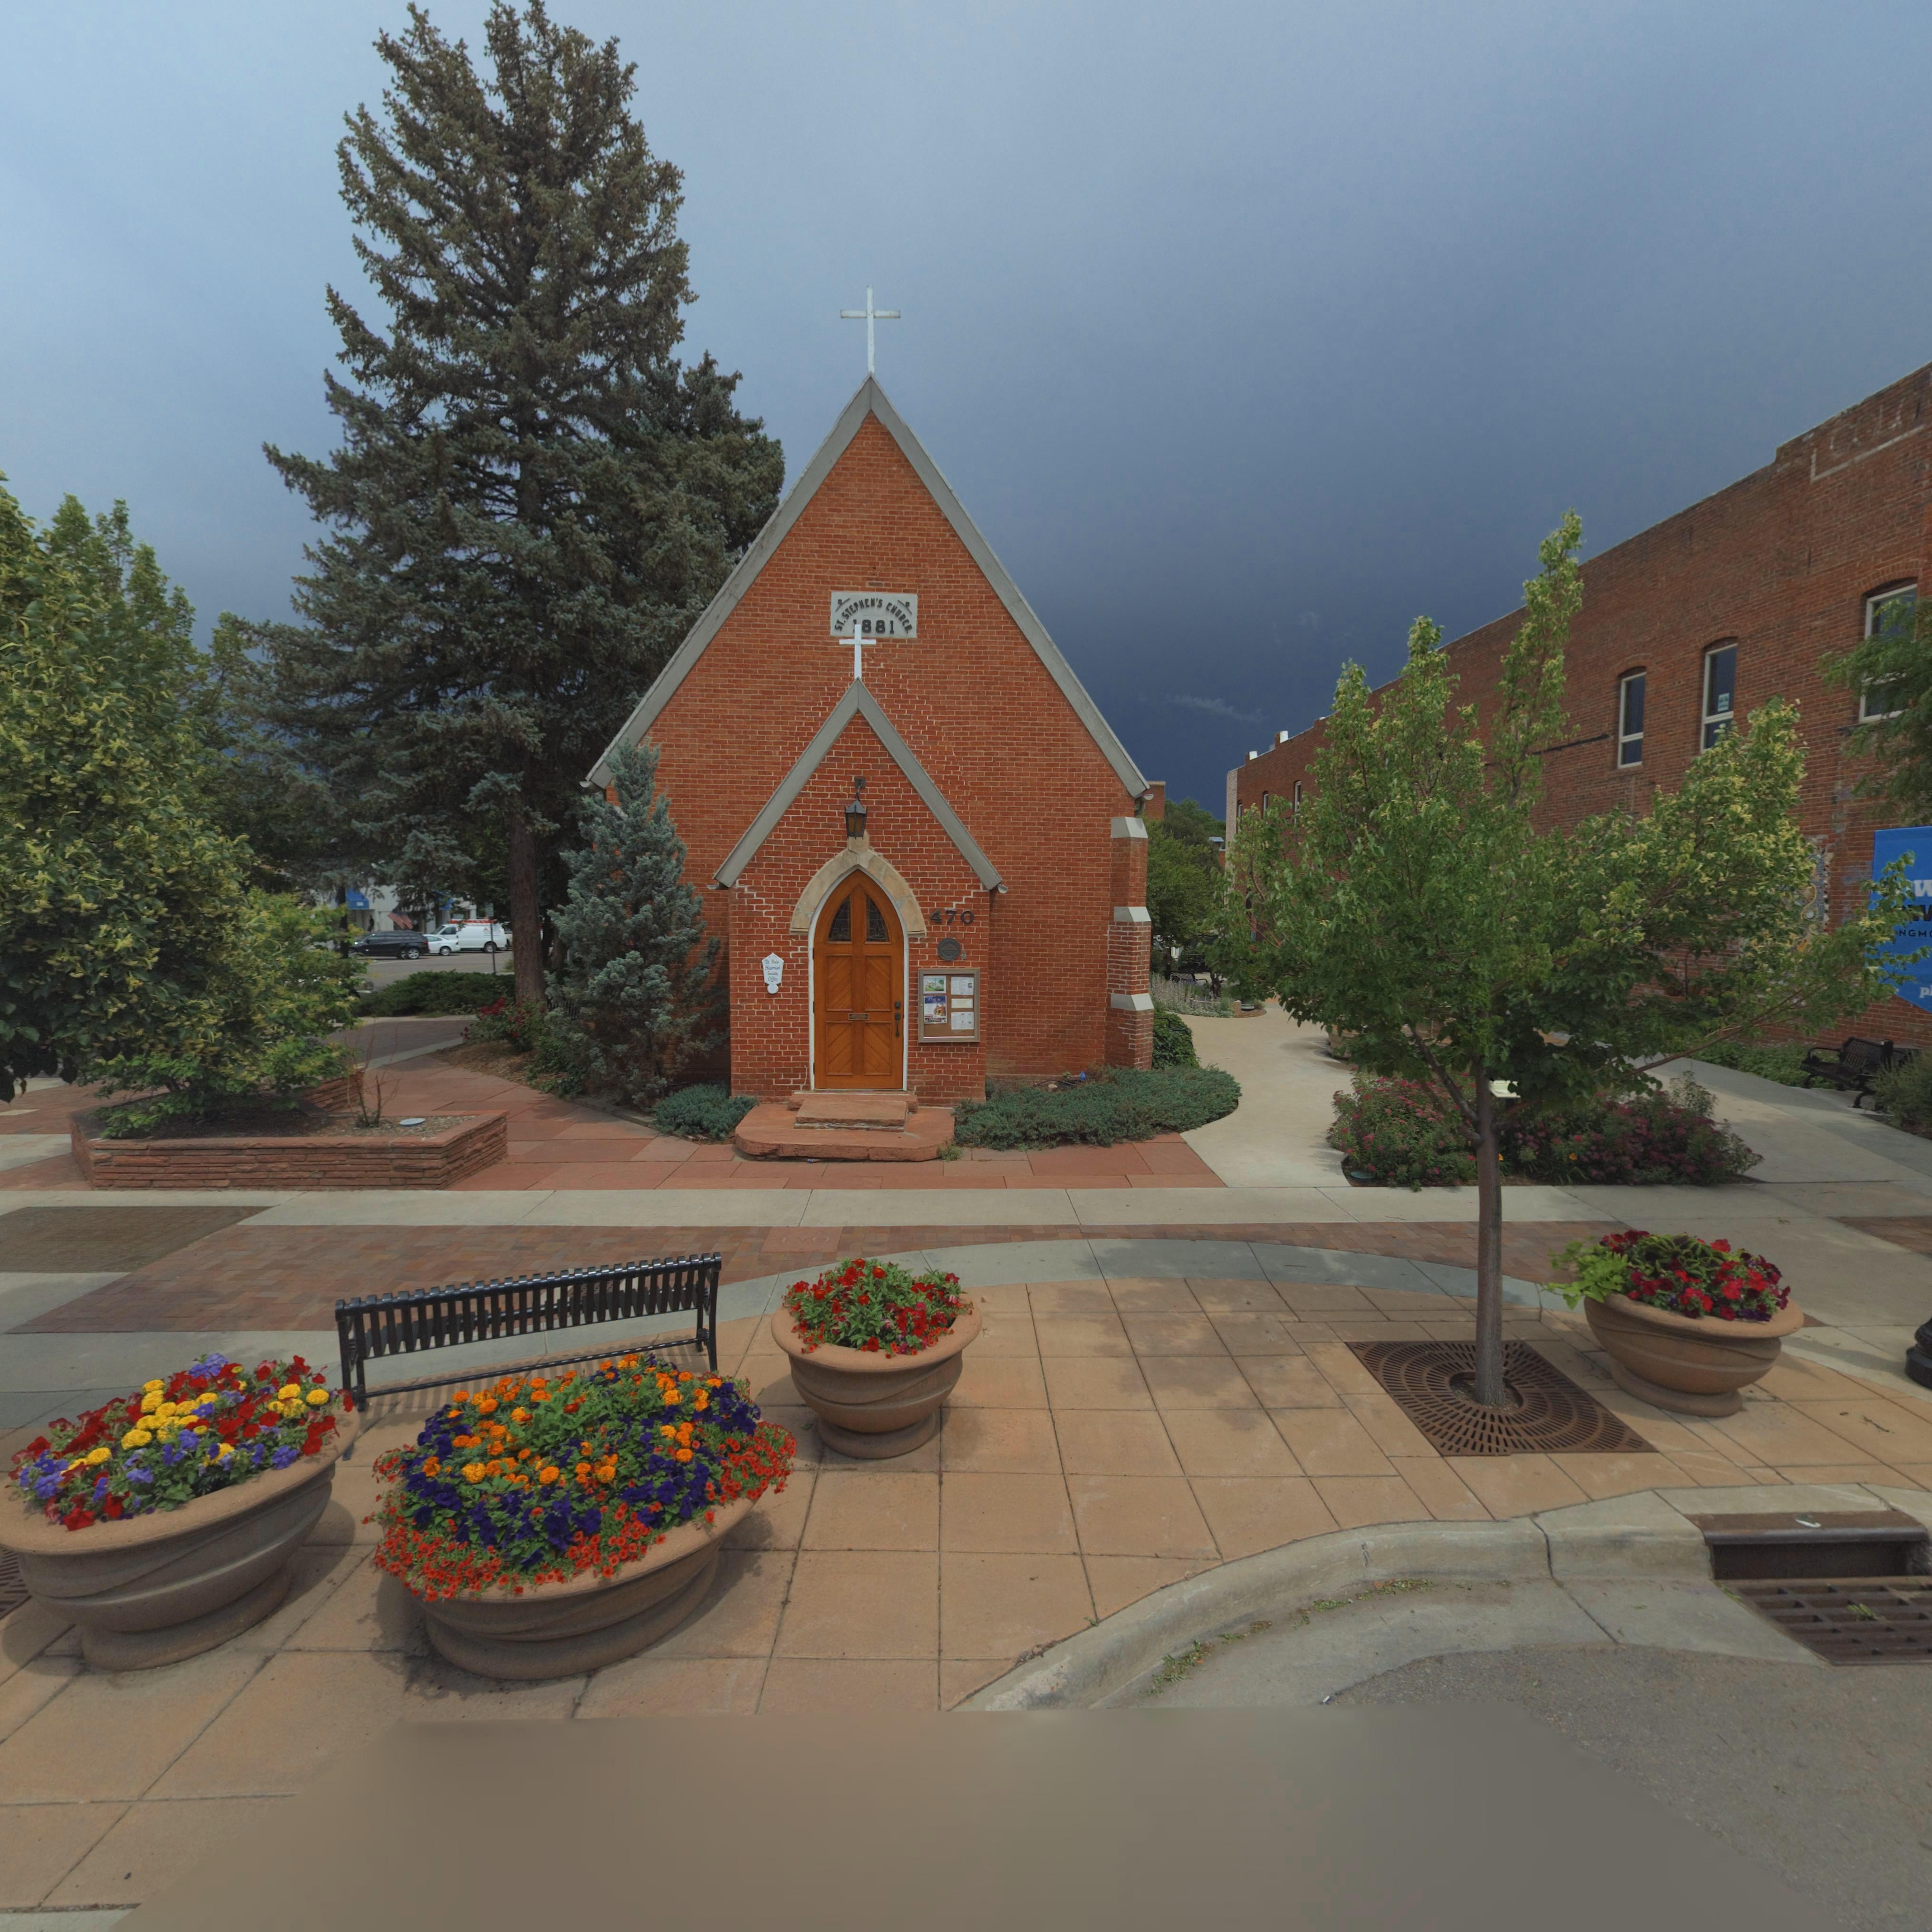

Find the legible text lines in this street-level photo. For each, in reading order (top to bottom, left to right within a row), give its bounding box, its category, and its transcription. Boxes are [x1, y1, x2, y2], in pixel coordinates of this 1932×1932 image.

[834, 597, 913, 633] BusinessName: ST. STEPHEN'S CHURCH
[928, 908, 975, 924] StreetNumber: 470